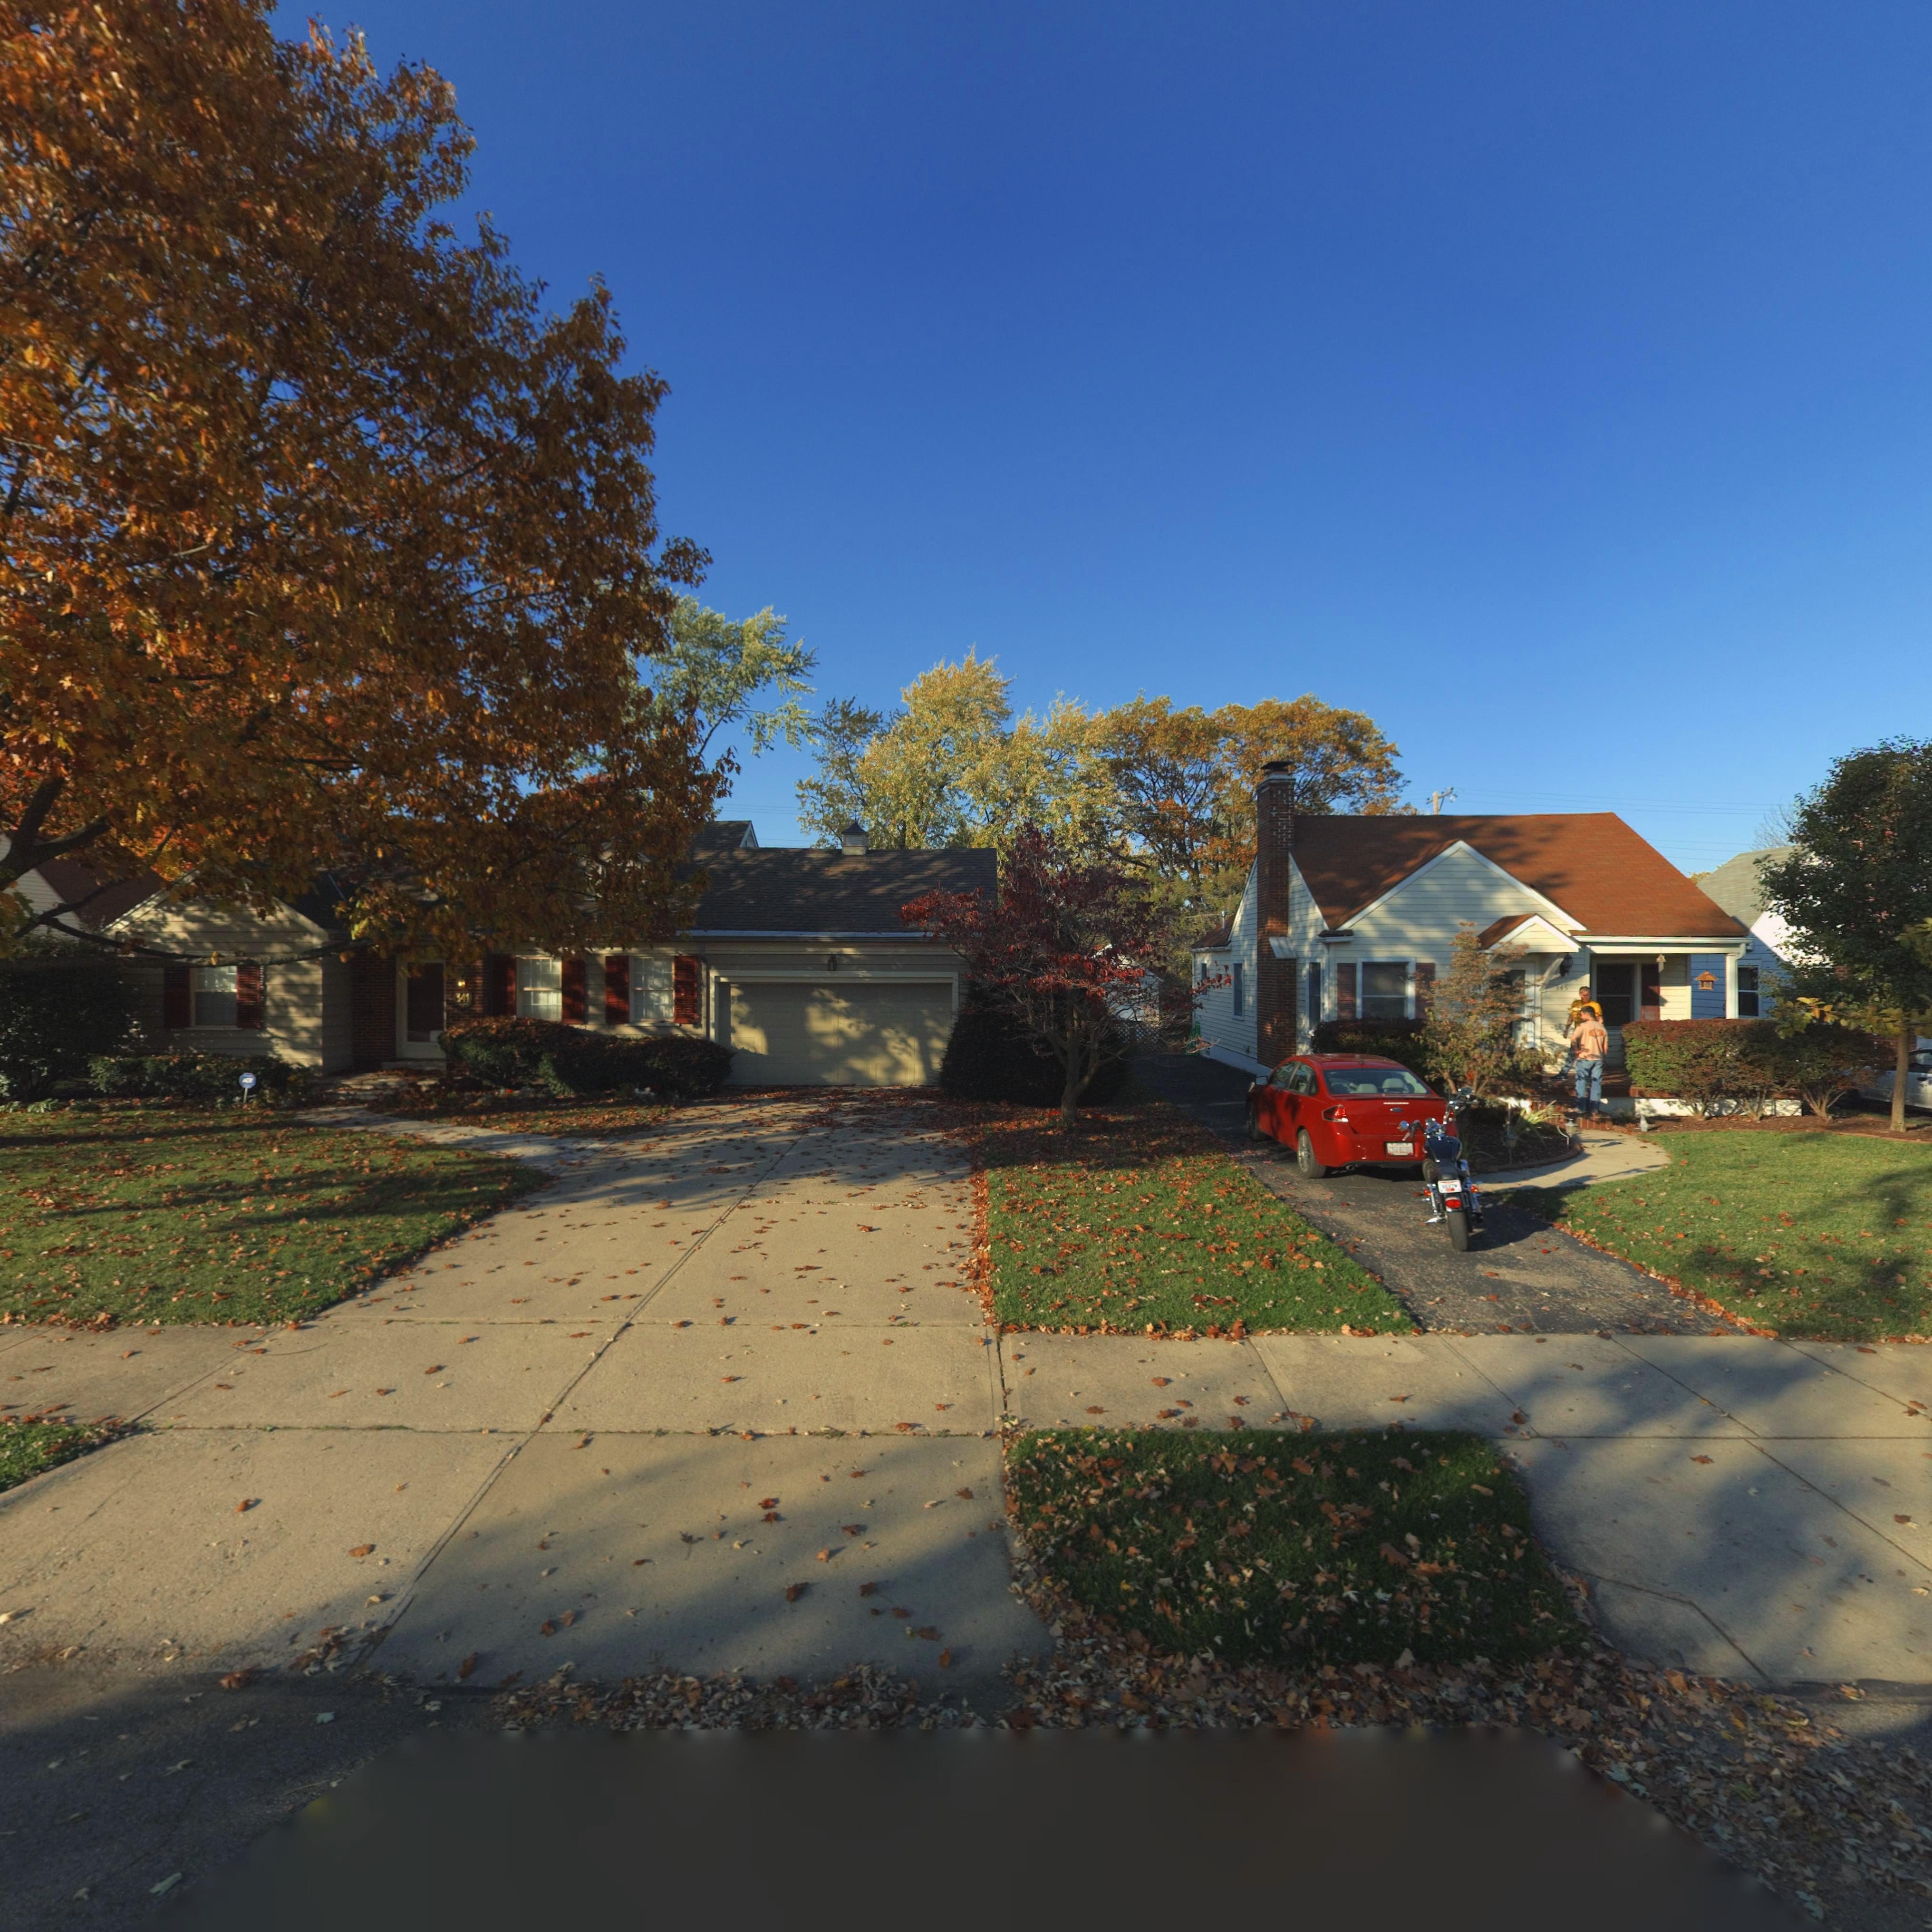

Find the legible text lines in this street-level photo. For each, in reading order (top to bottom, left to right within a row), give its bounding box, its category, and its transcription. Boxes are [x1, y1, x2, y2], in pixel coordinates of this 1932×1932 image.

[1555, 984, 1569, 992] StreetNumber: 345
[454, 992, 471, 1004] StreetNumber: 341